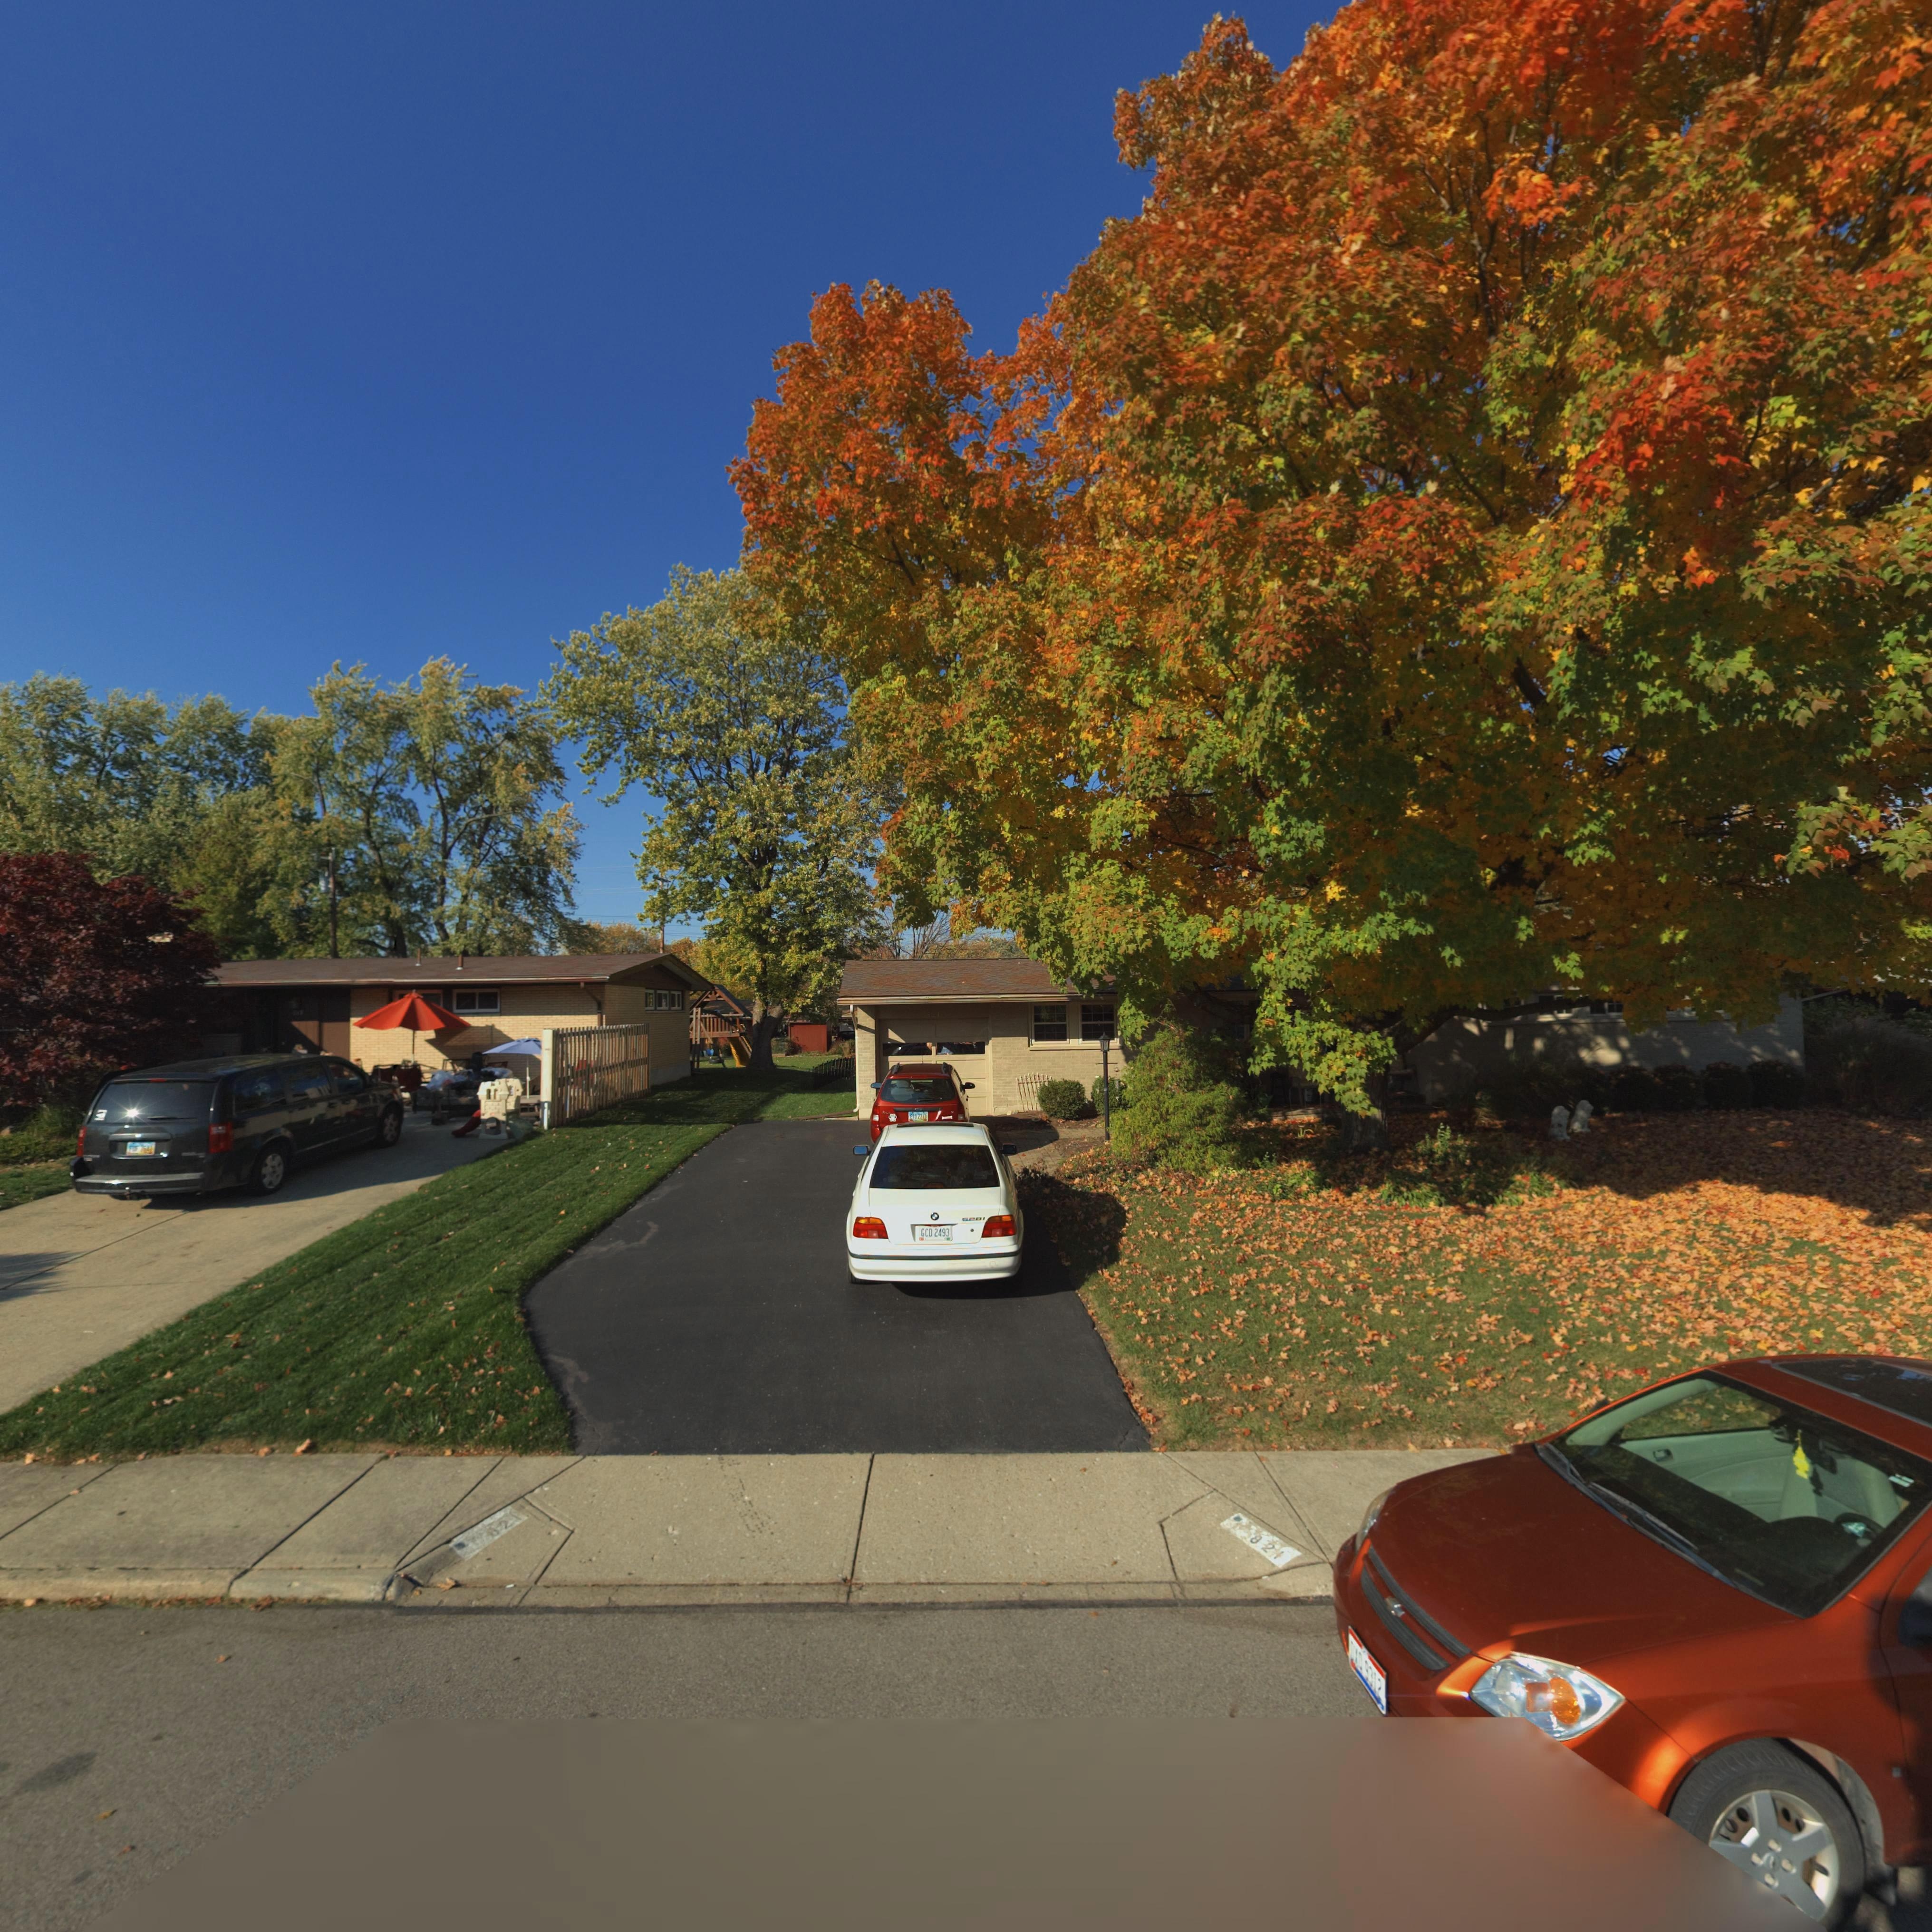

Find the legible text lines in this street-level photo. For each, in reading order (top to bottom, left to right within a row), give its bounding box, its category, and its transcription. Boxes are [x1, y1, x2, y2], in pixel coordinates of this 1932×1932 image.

[486, 1512, 524, 1538] StreetNumber: *21
[1248, 1533, 1286, 1561] StreetNumber: 821